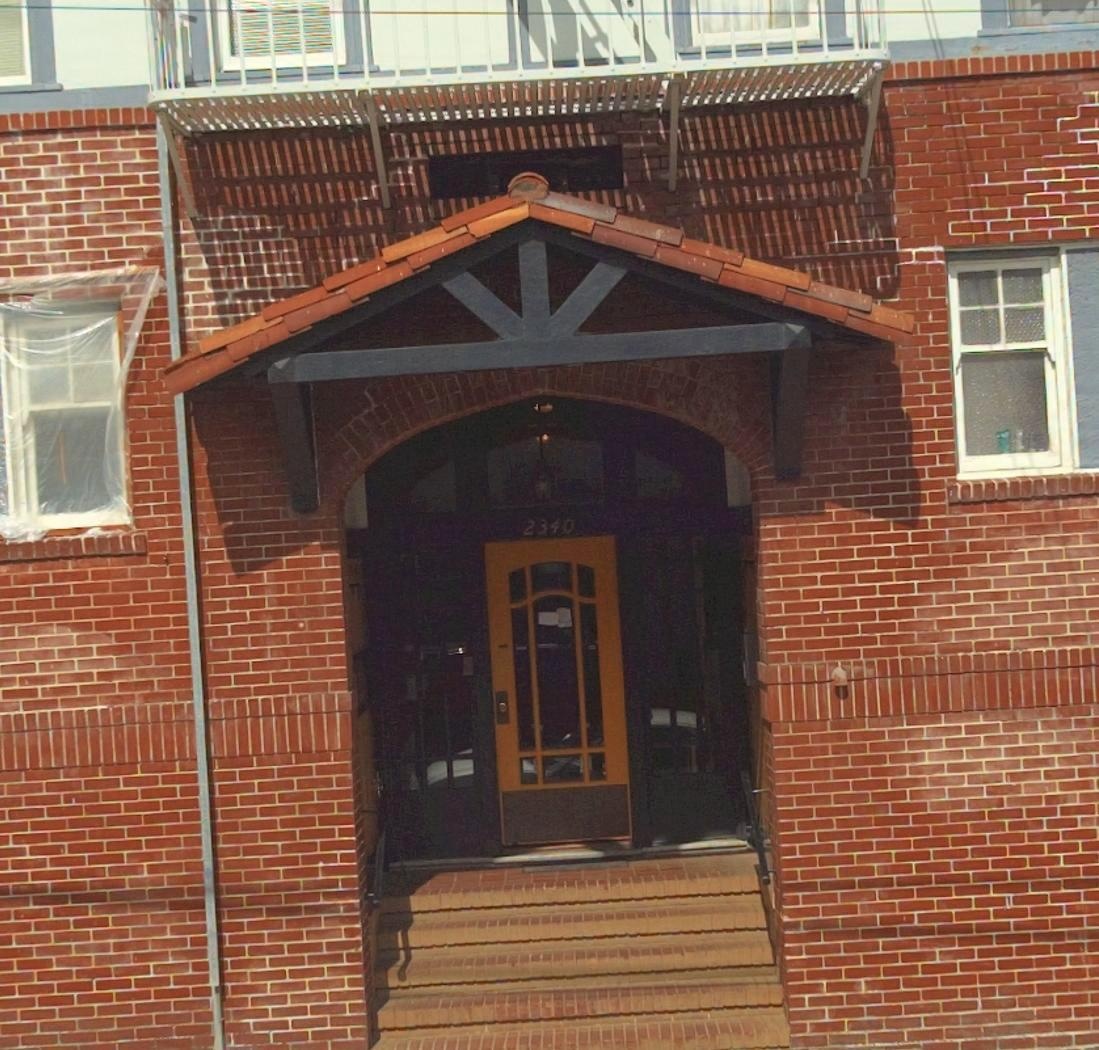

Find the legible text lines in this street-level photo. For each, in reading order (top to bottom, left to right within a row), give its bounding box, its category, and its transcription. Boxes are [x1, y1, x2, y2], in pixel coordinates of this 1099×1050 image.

[520, 516, 578, 538] StreetNumber: 2340